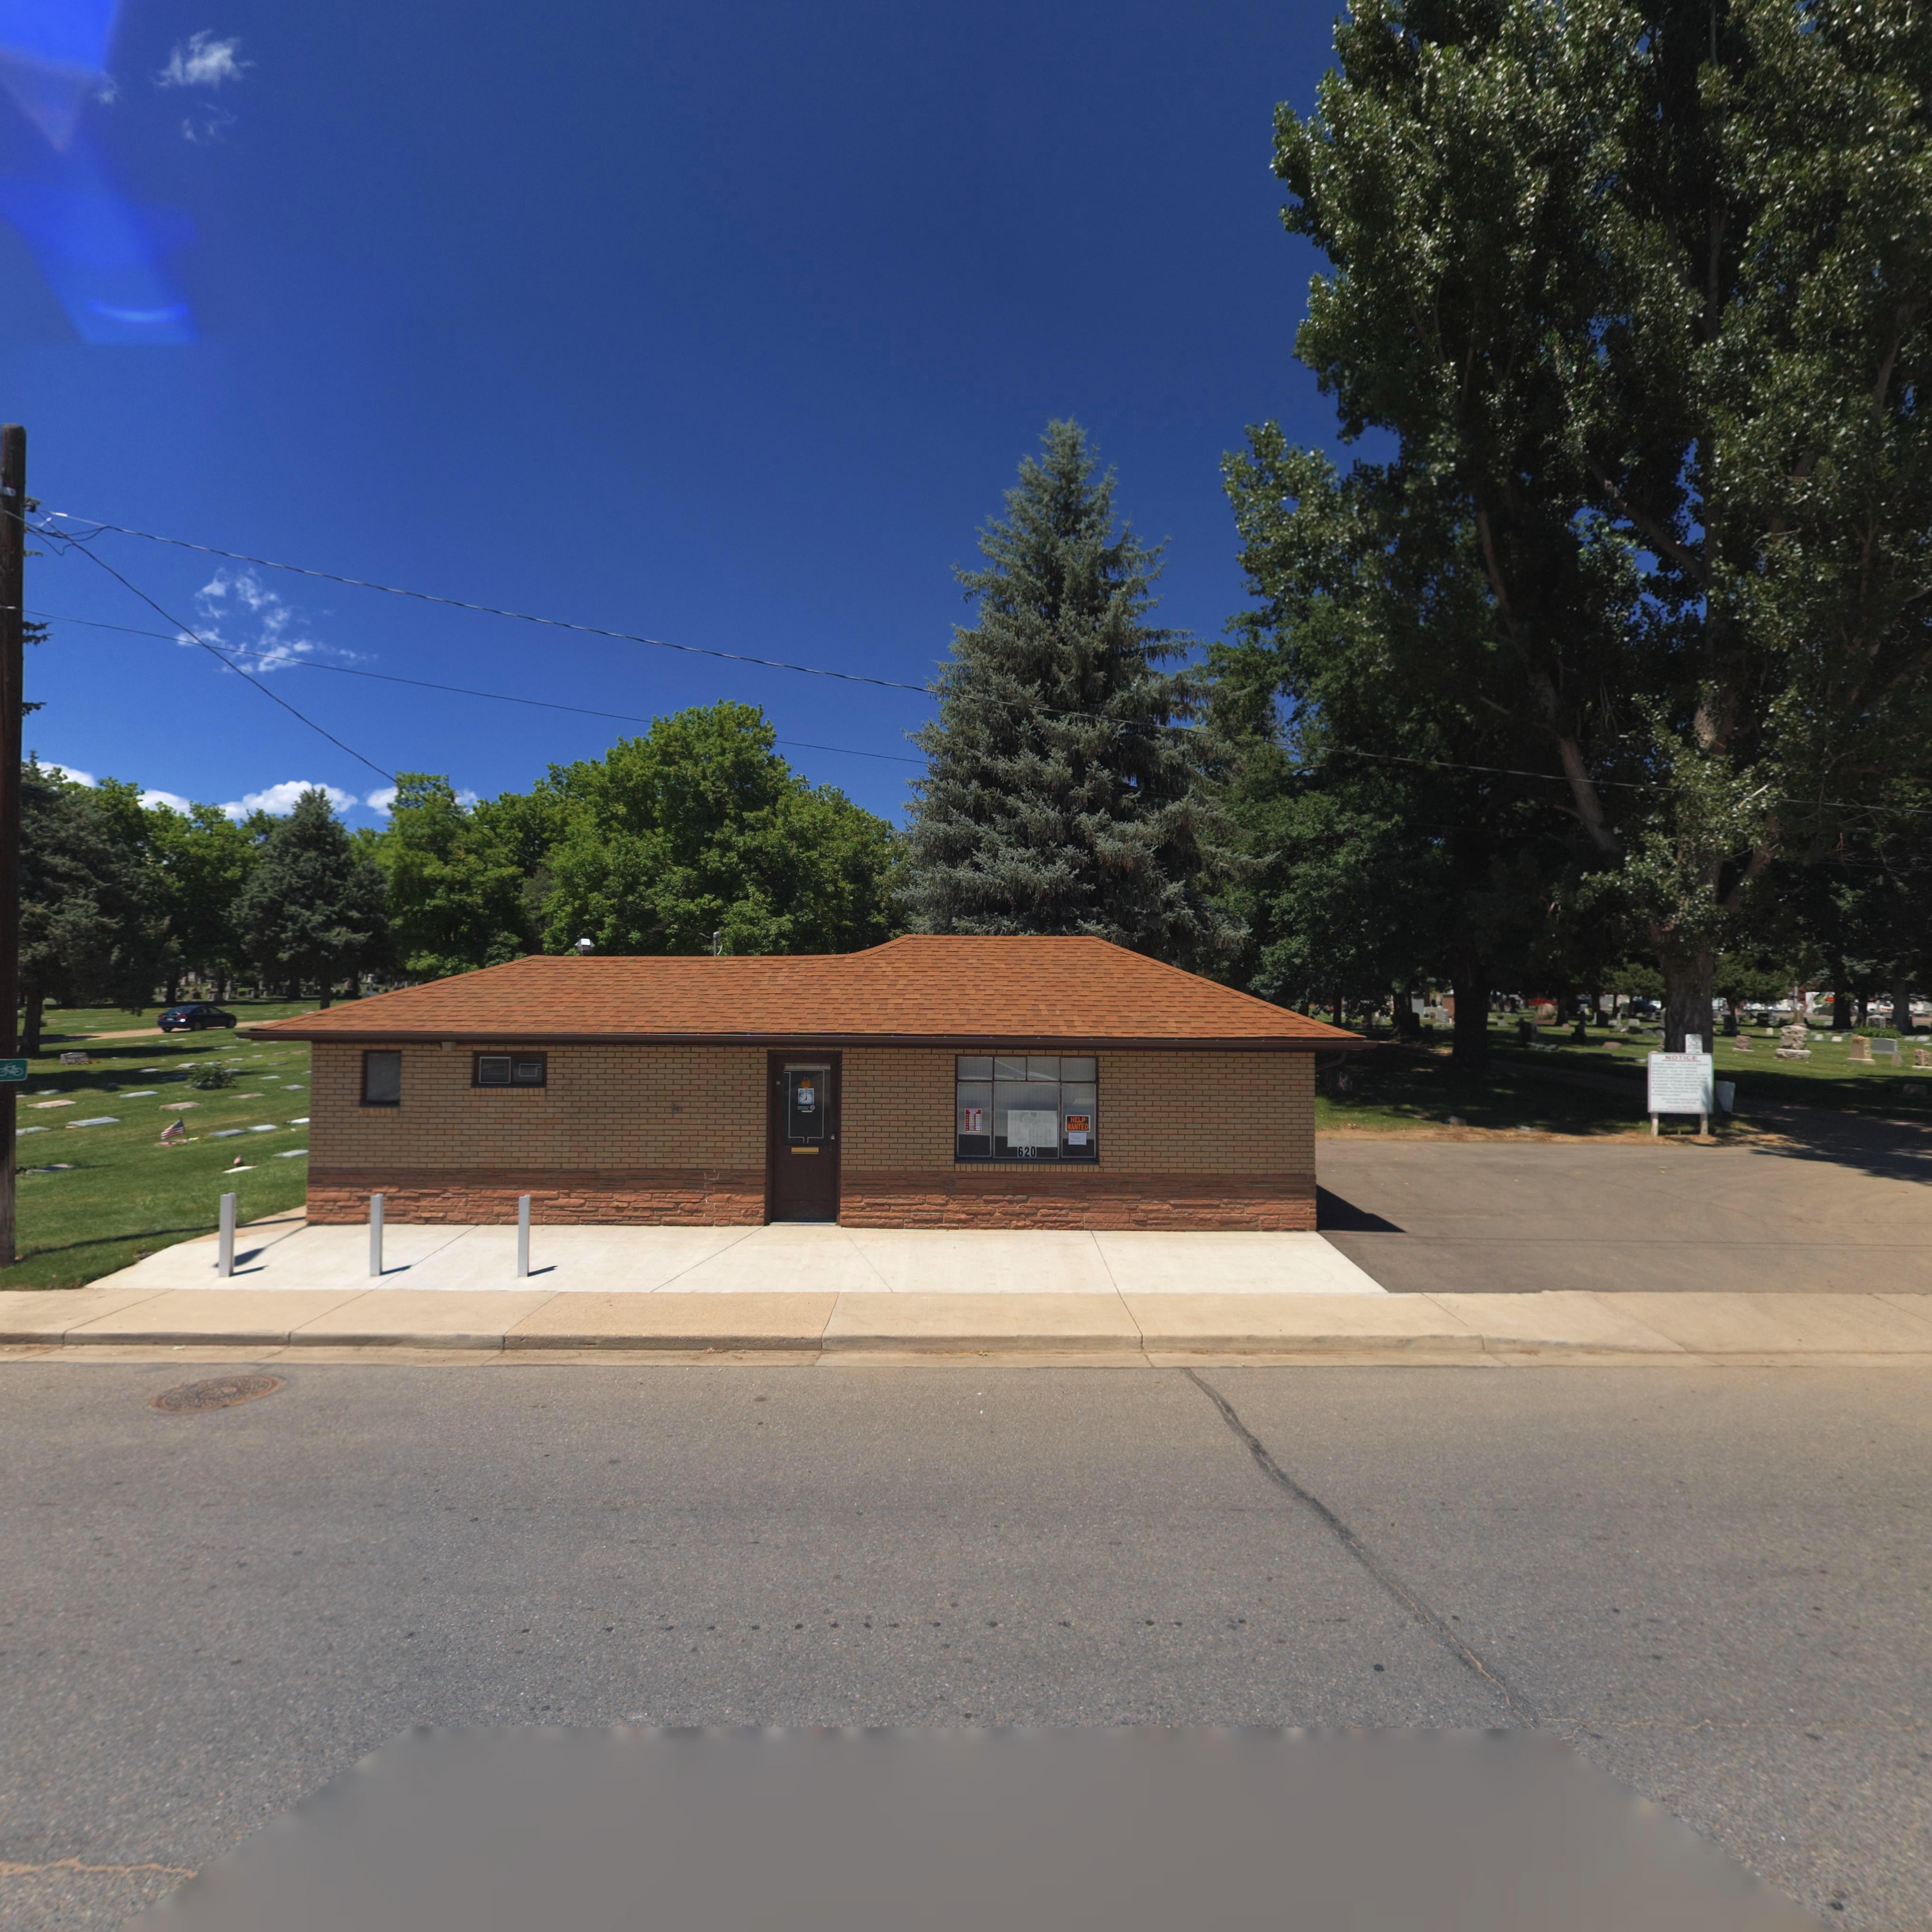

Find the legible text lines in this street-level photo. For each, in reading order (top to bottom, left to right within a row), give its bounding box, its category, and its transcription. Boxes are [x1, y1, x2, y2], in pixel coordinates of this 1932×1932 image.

[1018, 1146, 1035, 1157] StreetNumber: 620